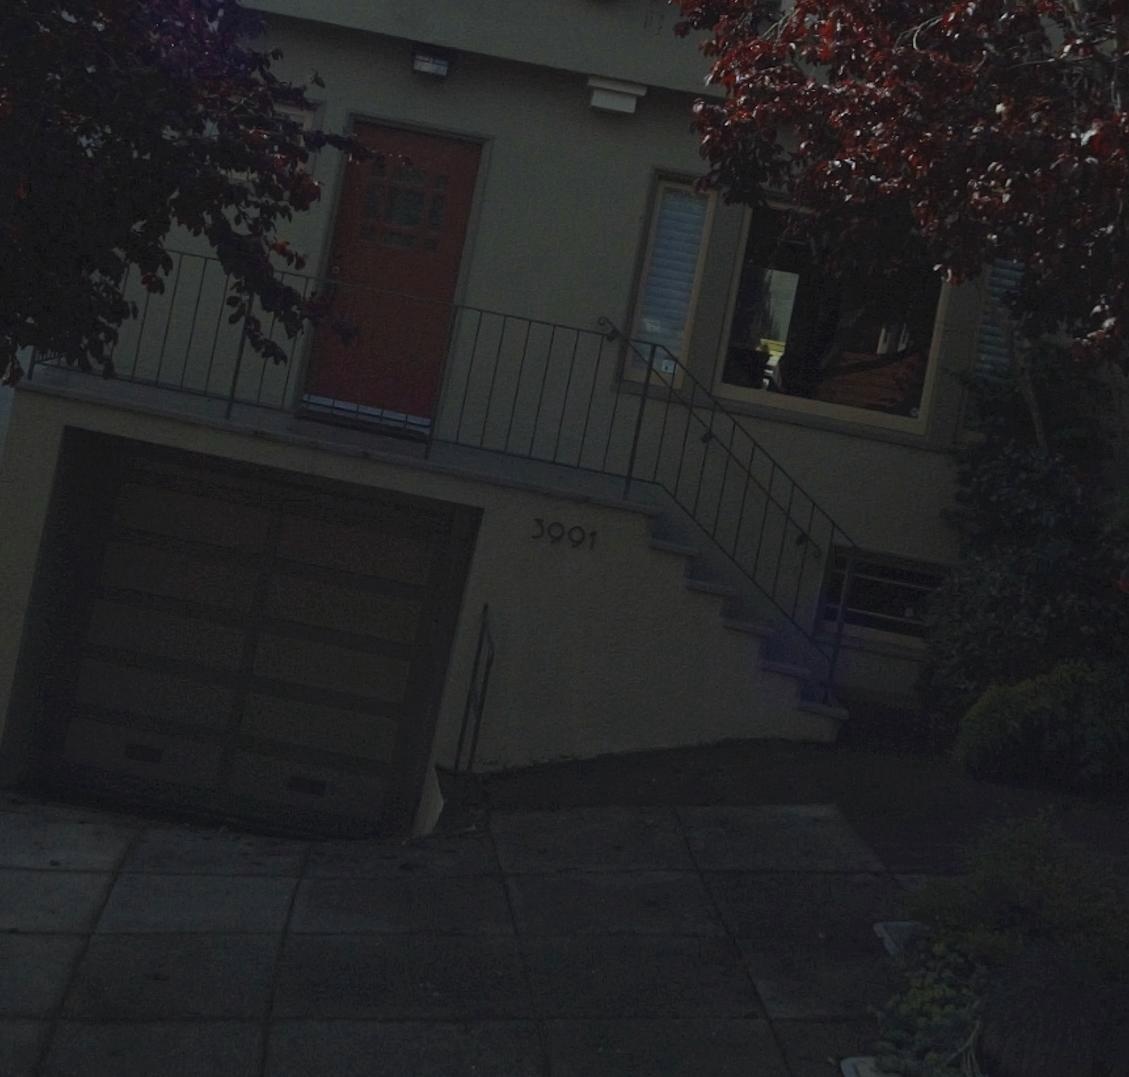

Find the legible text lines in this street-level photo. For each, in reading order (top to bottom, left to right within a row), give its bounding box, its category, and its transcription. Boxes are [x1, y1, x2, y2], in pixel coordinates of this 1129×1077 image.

[529, 516, 597, 558] StreetNumber: 3991